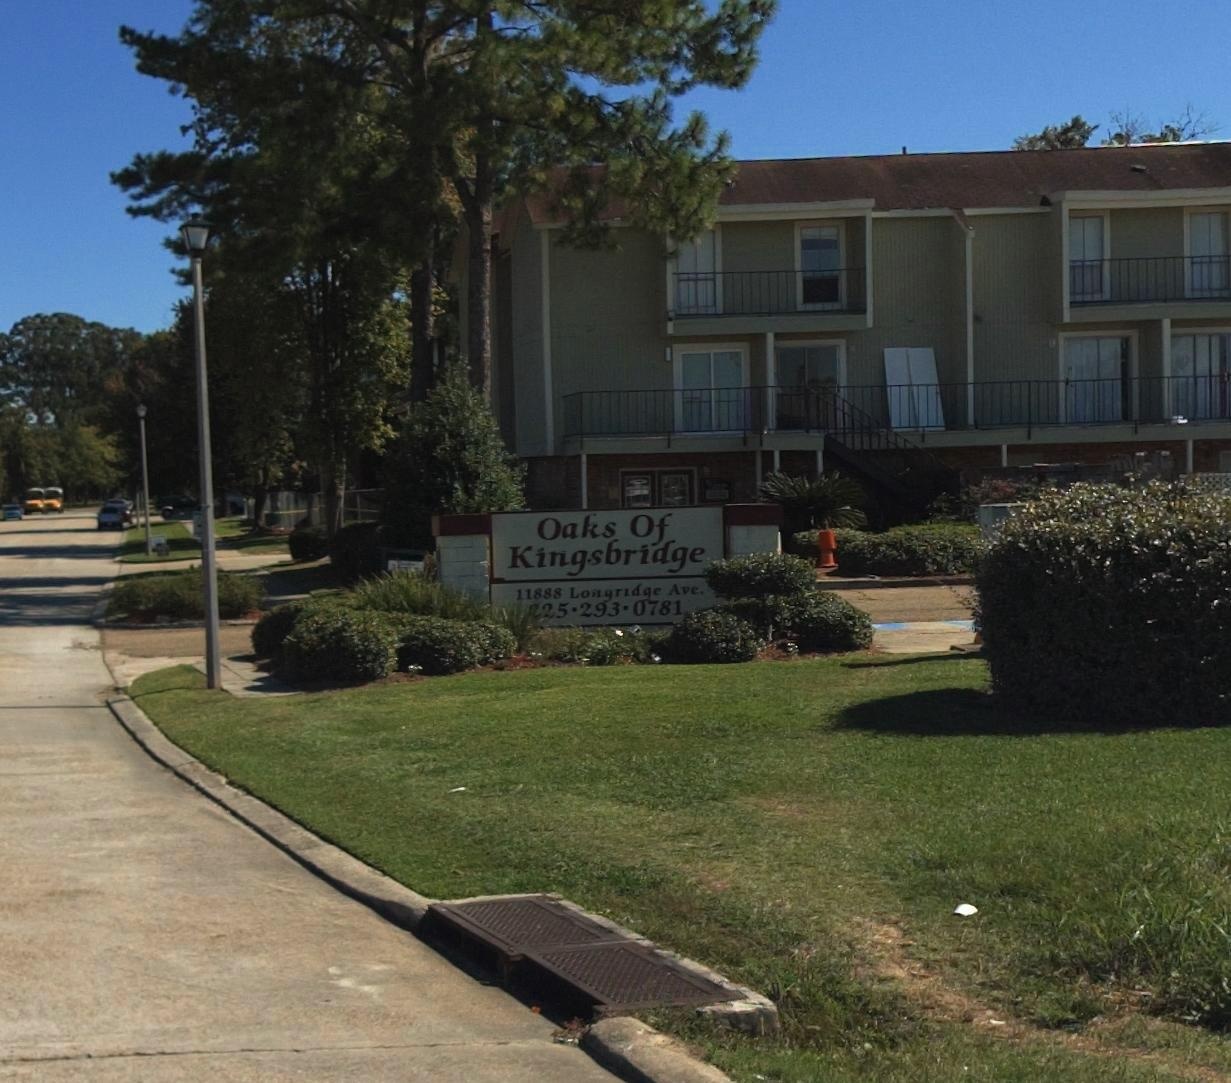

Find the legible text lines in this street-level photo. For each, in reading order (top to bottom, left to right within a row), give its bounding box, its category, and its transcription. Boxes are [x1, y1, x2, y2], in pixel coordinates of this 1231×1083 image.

[535, 511, 677, 549] BusinessName: Oaks Of
[505, 536, 707, 579] BusinessName: Kingsbridge
[514, 584, 566, 604] StreetNumber: 11888
[568, 580, 705, 605] StreetName: Longridge Ave.
[540, 597, 686, 621] None: 25-293-0781